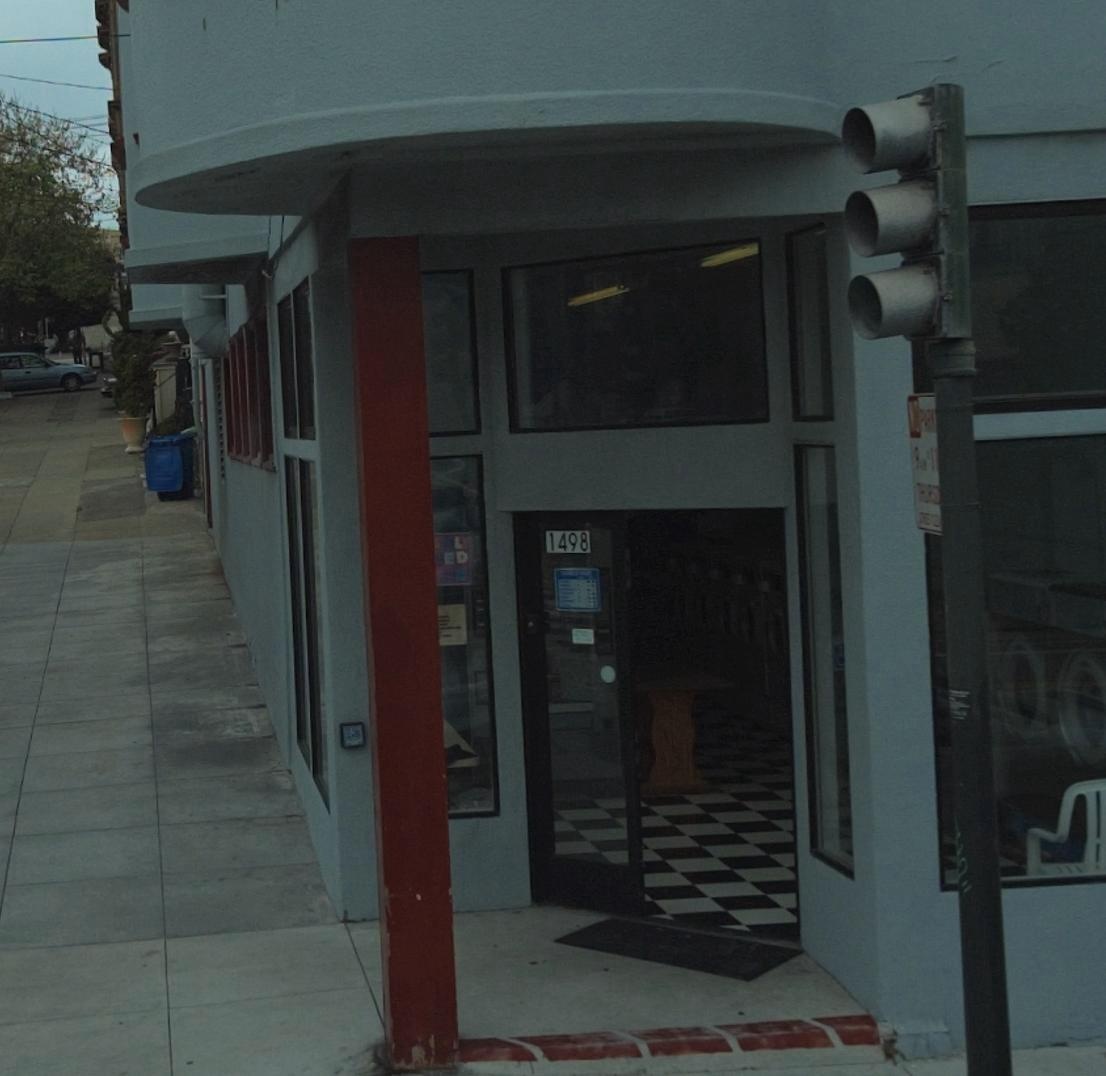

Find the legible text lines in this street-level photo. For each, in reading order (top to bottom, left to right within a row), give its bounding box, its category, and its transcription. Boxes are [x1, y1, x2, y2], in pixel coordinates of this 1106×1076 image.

[918, 408, 926, 433] None: P\
[913, 446, 935, 473] None: 9****1
[453, 535, 472, 550] None: LS
[548, 531, 589, 553] StreetNumber: 1498
[443, 550, 469, 566] None: ED
[455, 568, 467, 582] None: C